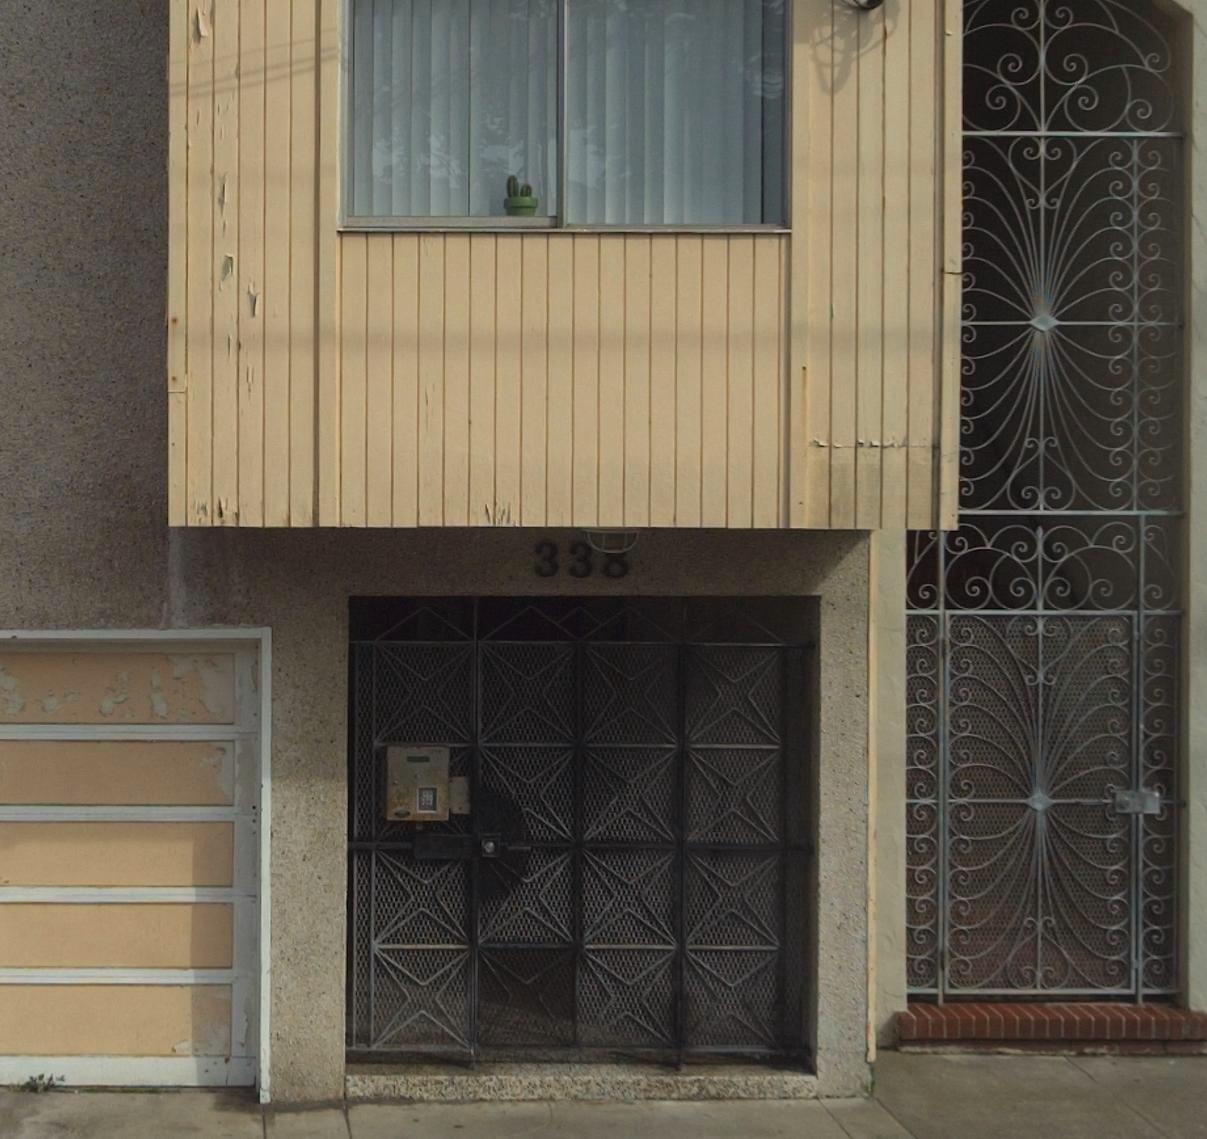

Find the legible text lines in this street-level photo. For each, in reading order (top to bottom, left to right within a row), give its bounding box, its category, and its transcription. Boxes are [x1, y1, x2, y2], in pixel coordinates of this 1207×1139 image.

[530, 538, 633, 580] StreetNumber: 33*